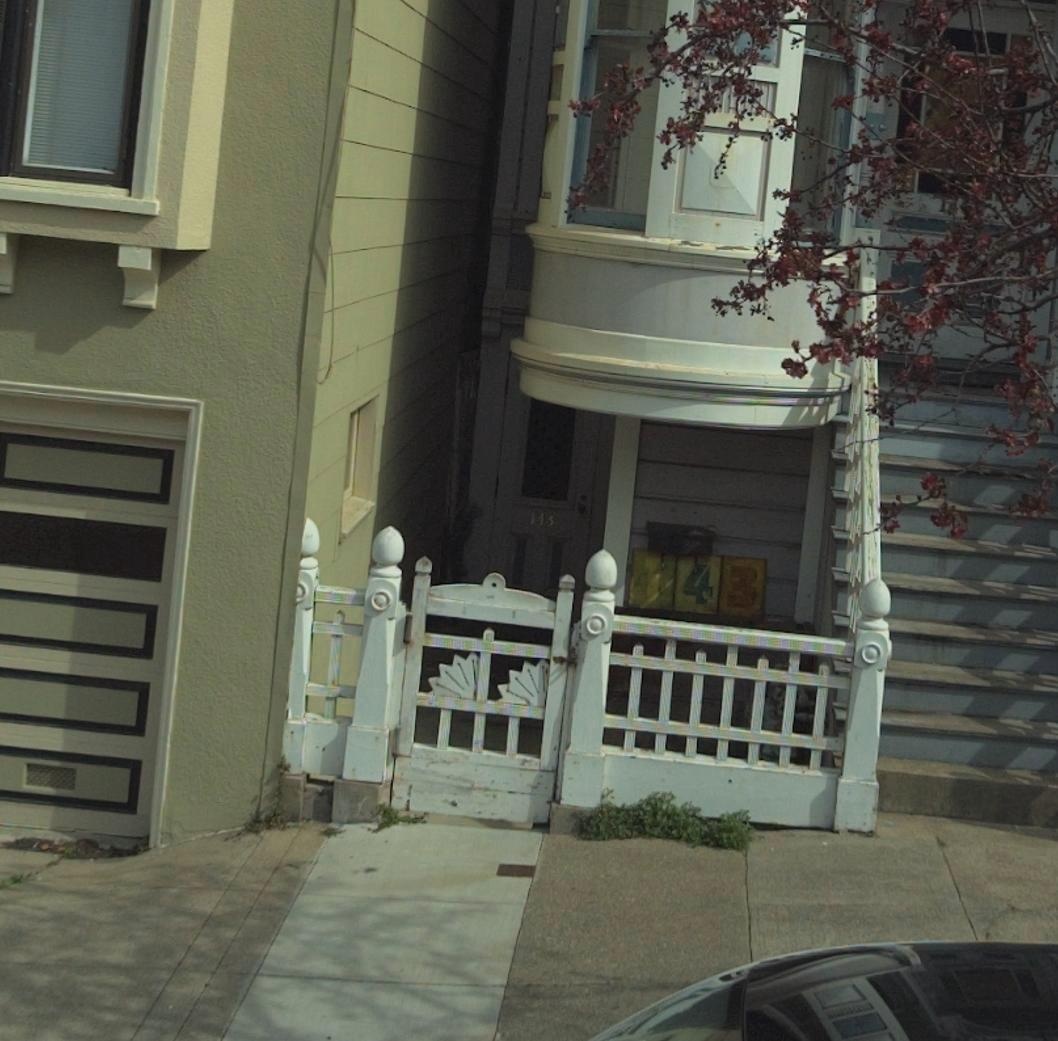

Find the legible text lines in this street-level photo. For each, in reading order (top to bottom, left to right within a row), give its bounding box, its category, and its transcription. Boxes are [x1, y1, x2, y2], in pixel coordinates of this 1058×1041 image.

[528, 510, 555, 530] StreetNumber: 143
[636, 553, 758, 609] StreetNumber: 143